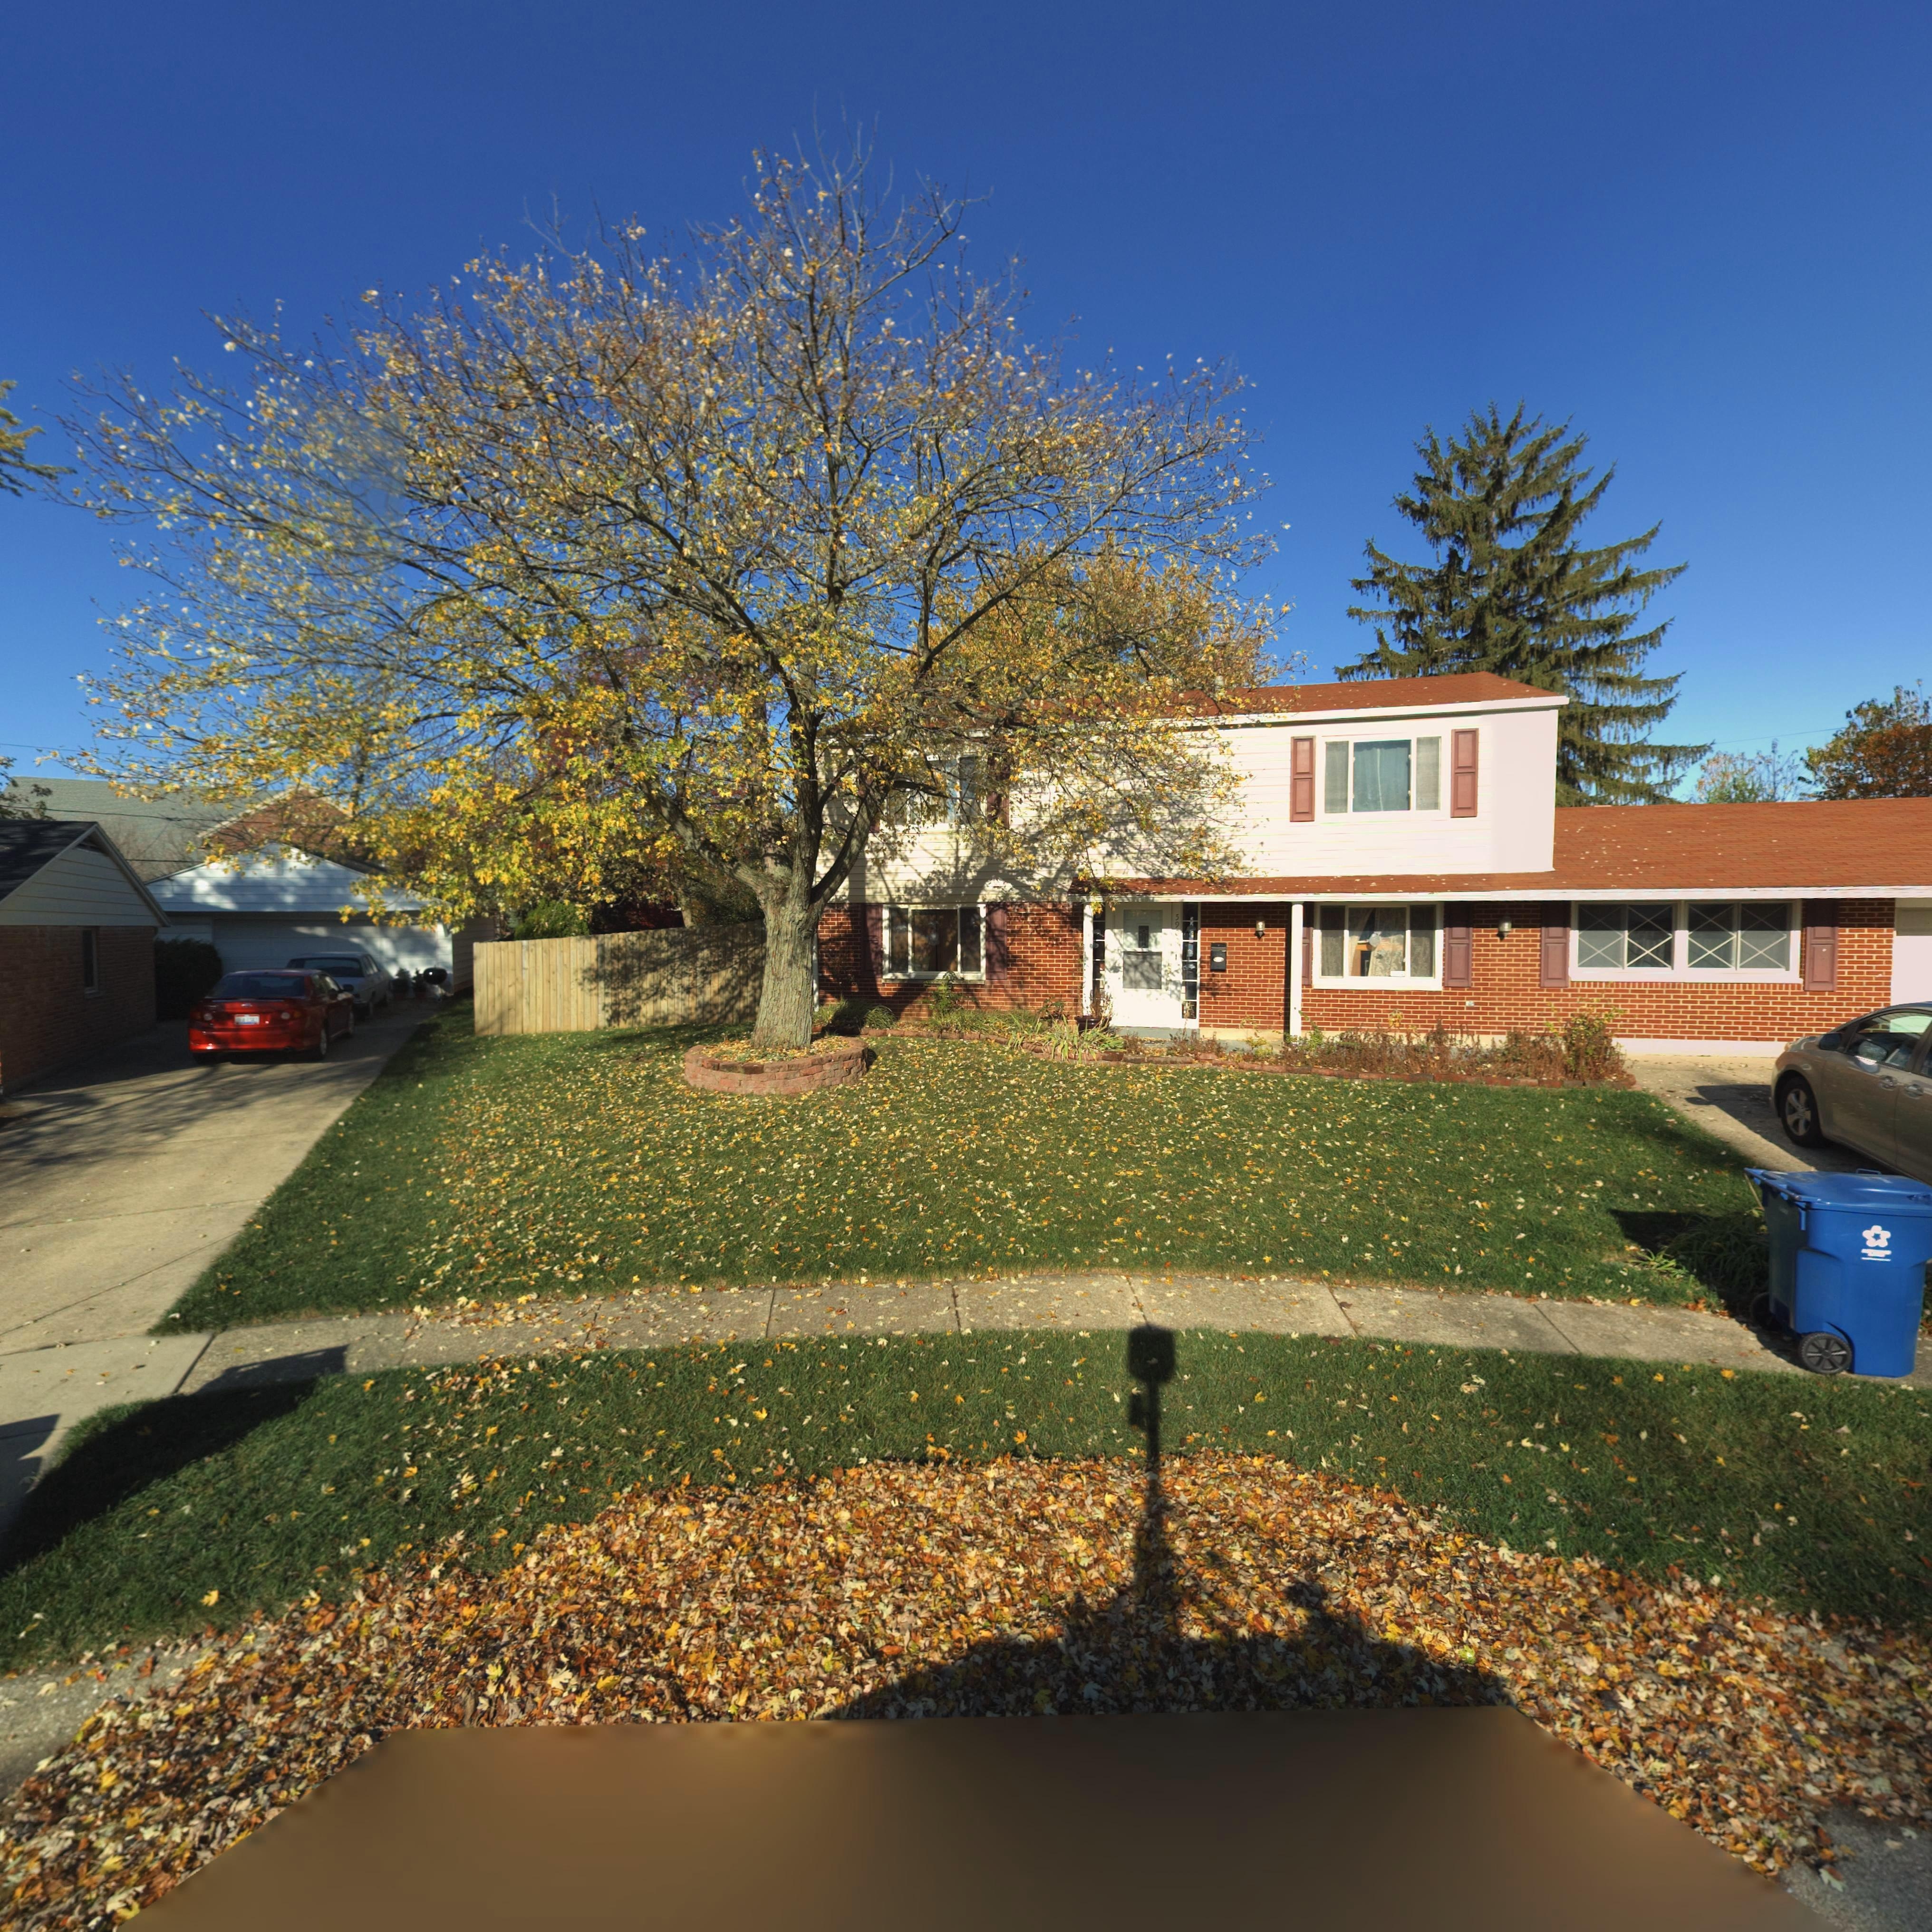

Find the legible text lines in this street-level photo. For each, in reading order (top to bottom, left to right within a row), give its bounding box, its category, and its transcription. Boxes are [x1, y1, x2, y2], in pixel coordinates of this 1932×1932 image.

[1173, 913, 1180, 945] StreetNumber: 59**